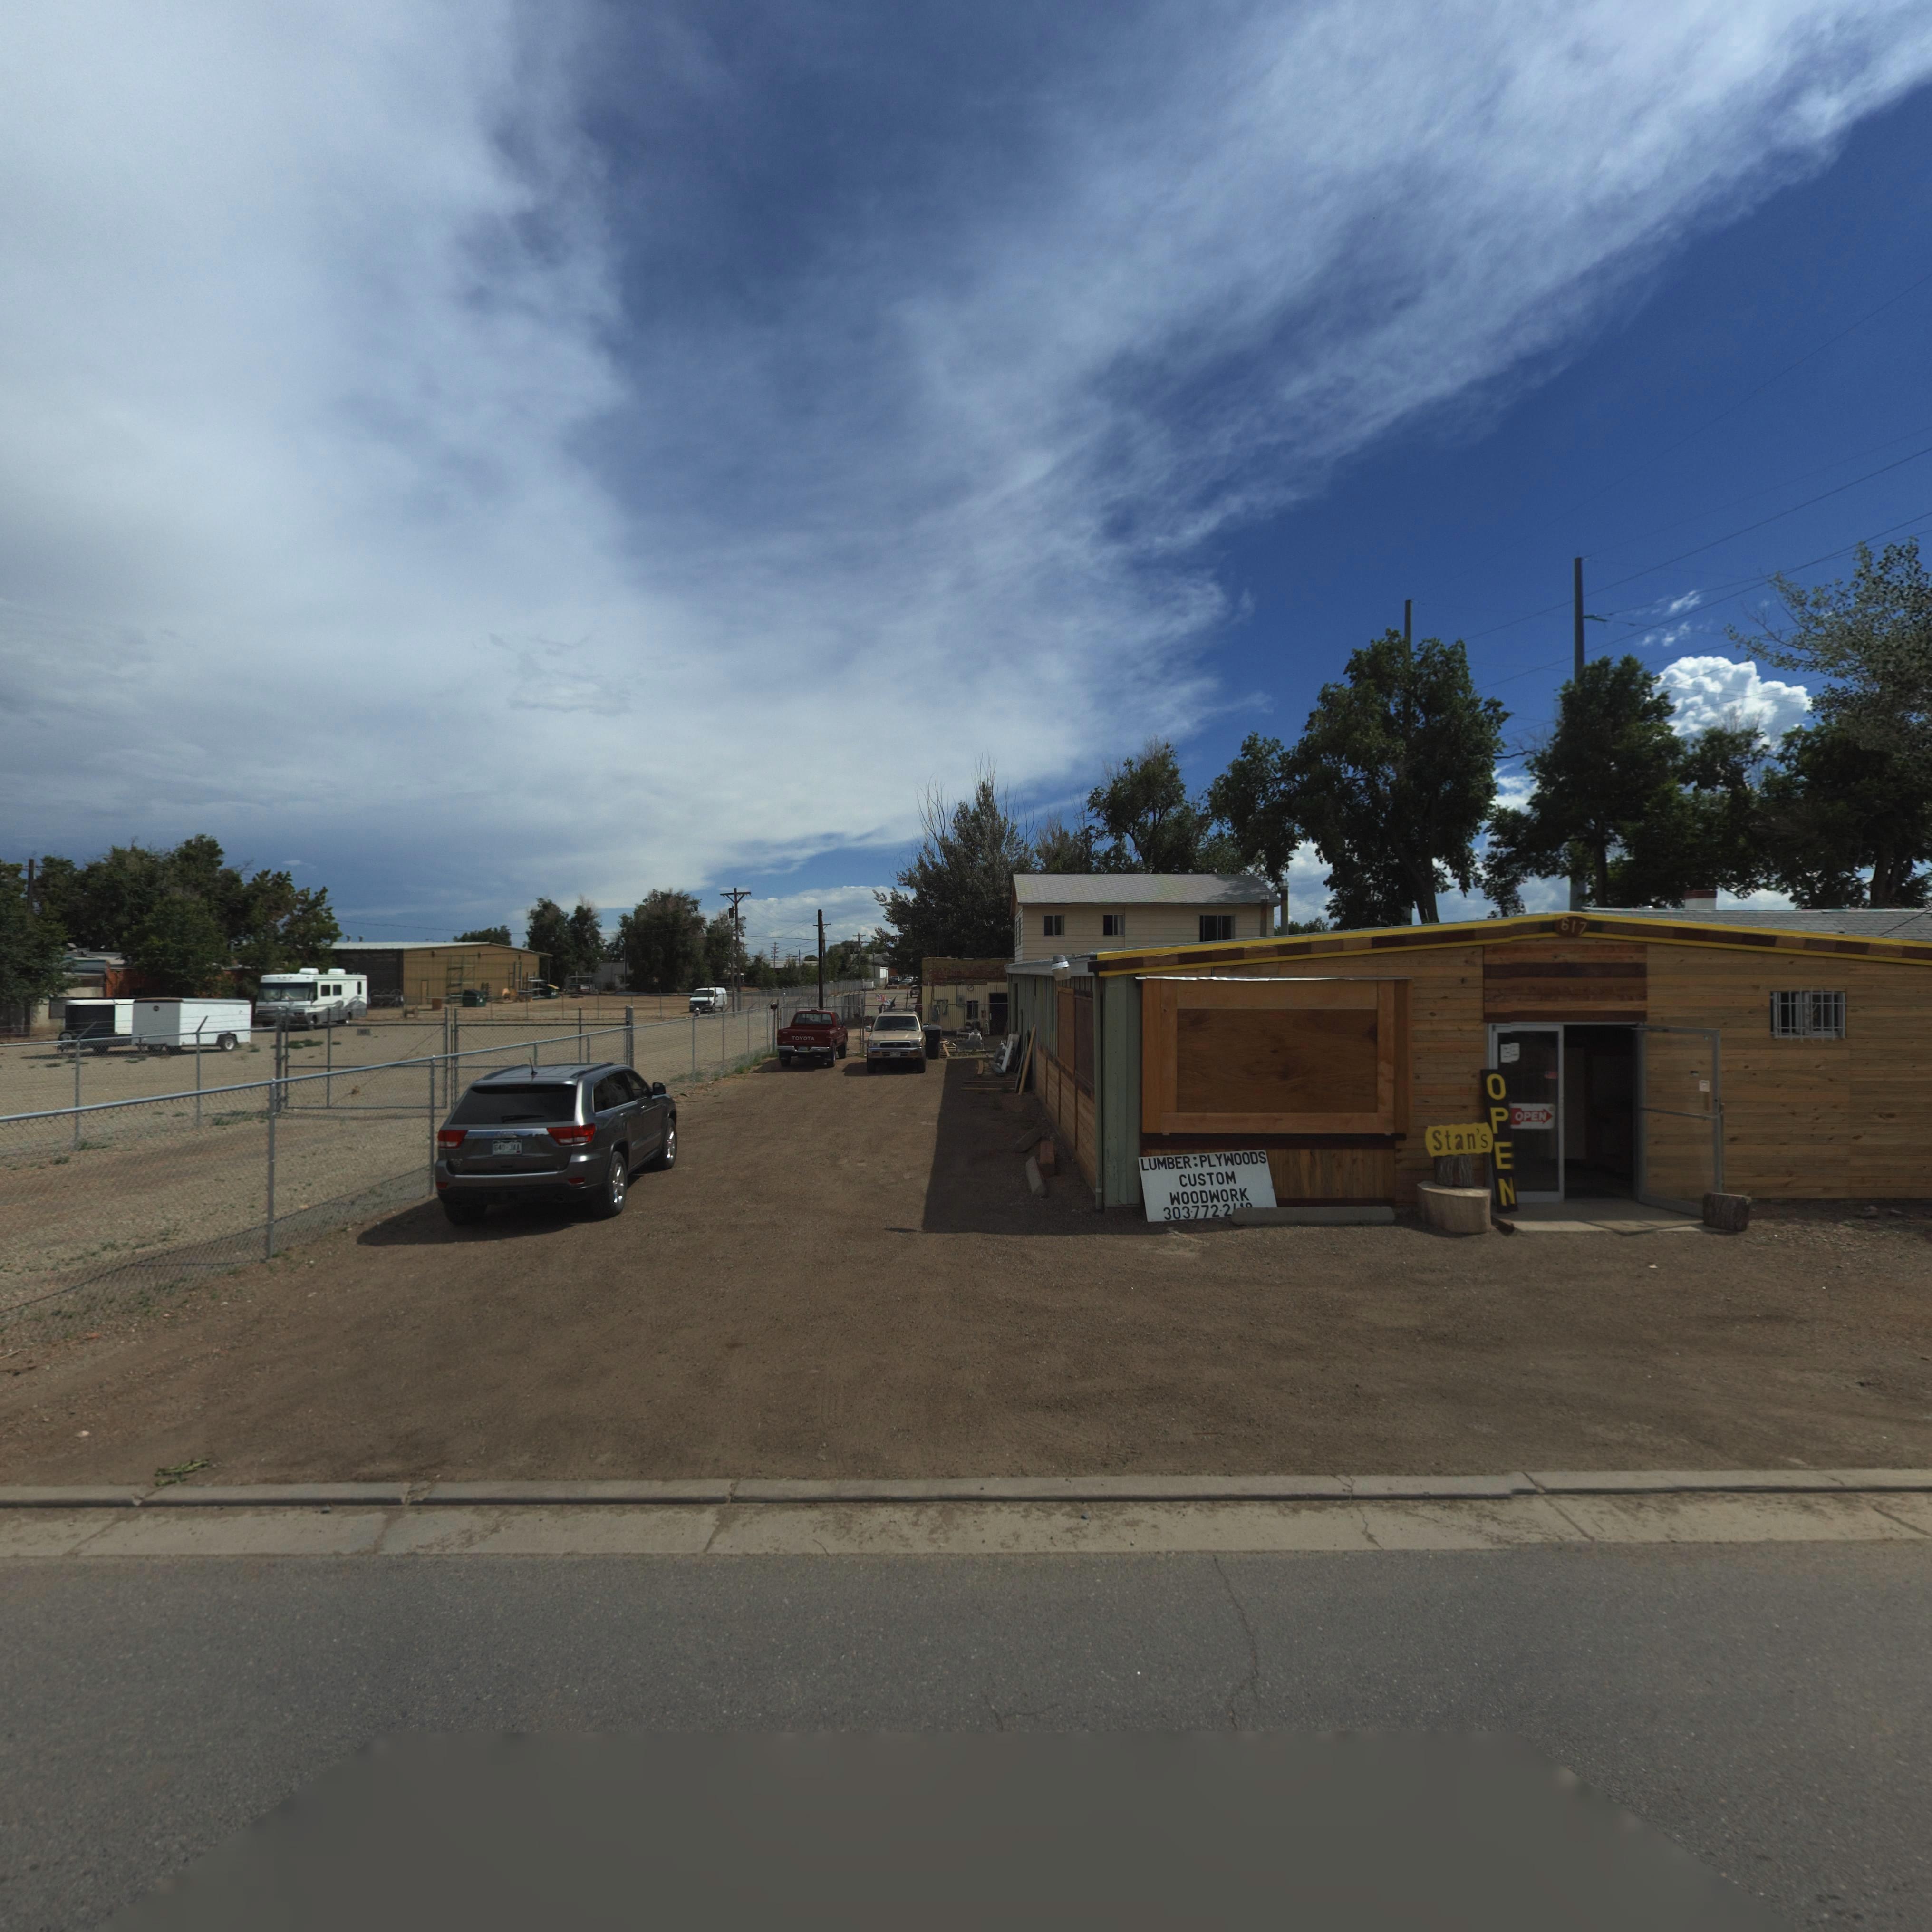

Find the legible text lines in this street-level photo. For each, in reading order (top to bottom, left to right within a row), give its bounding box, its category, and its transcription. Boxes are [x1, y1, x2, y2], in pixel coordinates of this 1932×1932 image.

[1561, 916, 1588, 935] StreetNumber: 617
[1430, 1127, 1488, 1152] BusinessName: Stan's